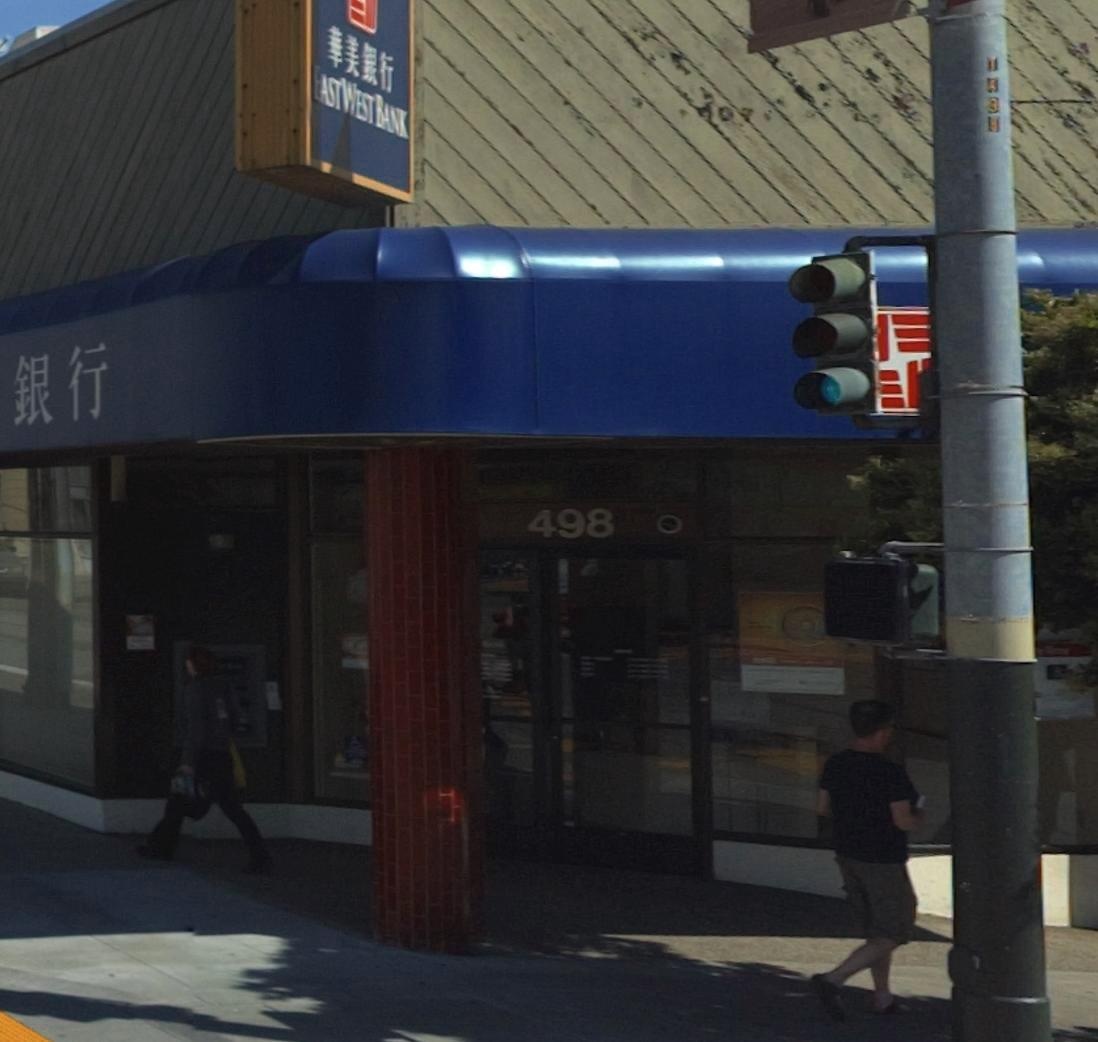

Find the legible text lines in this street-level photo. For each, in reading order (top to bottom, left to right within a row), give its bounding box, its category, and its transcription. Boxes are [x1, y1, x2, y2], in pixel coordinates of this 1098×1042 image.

[313, 63, 410, 142] BusinessName: EastWest Bank
[525, 505, 615, 539] StreetNumber: 498